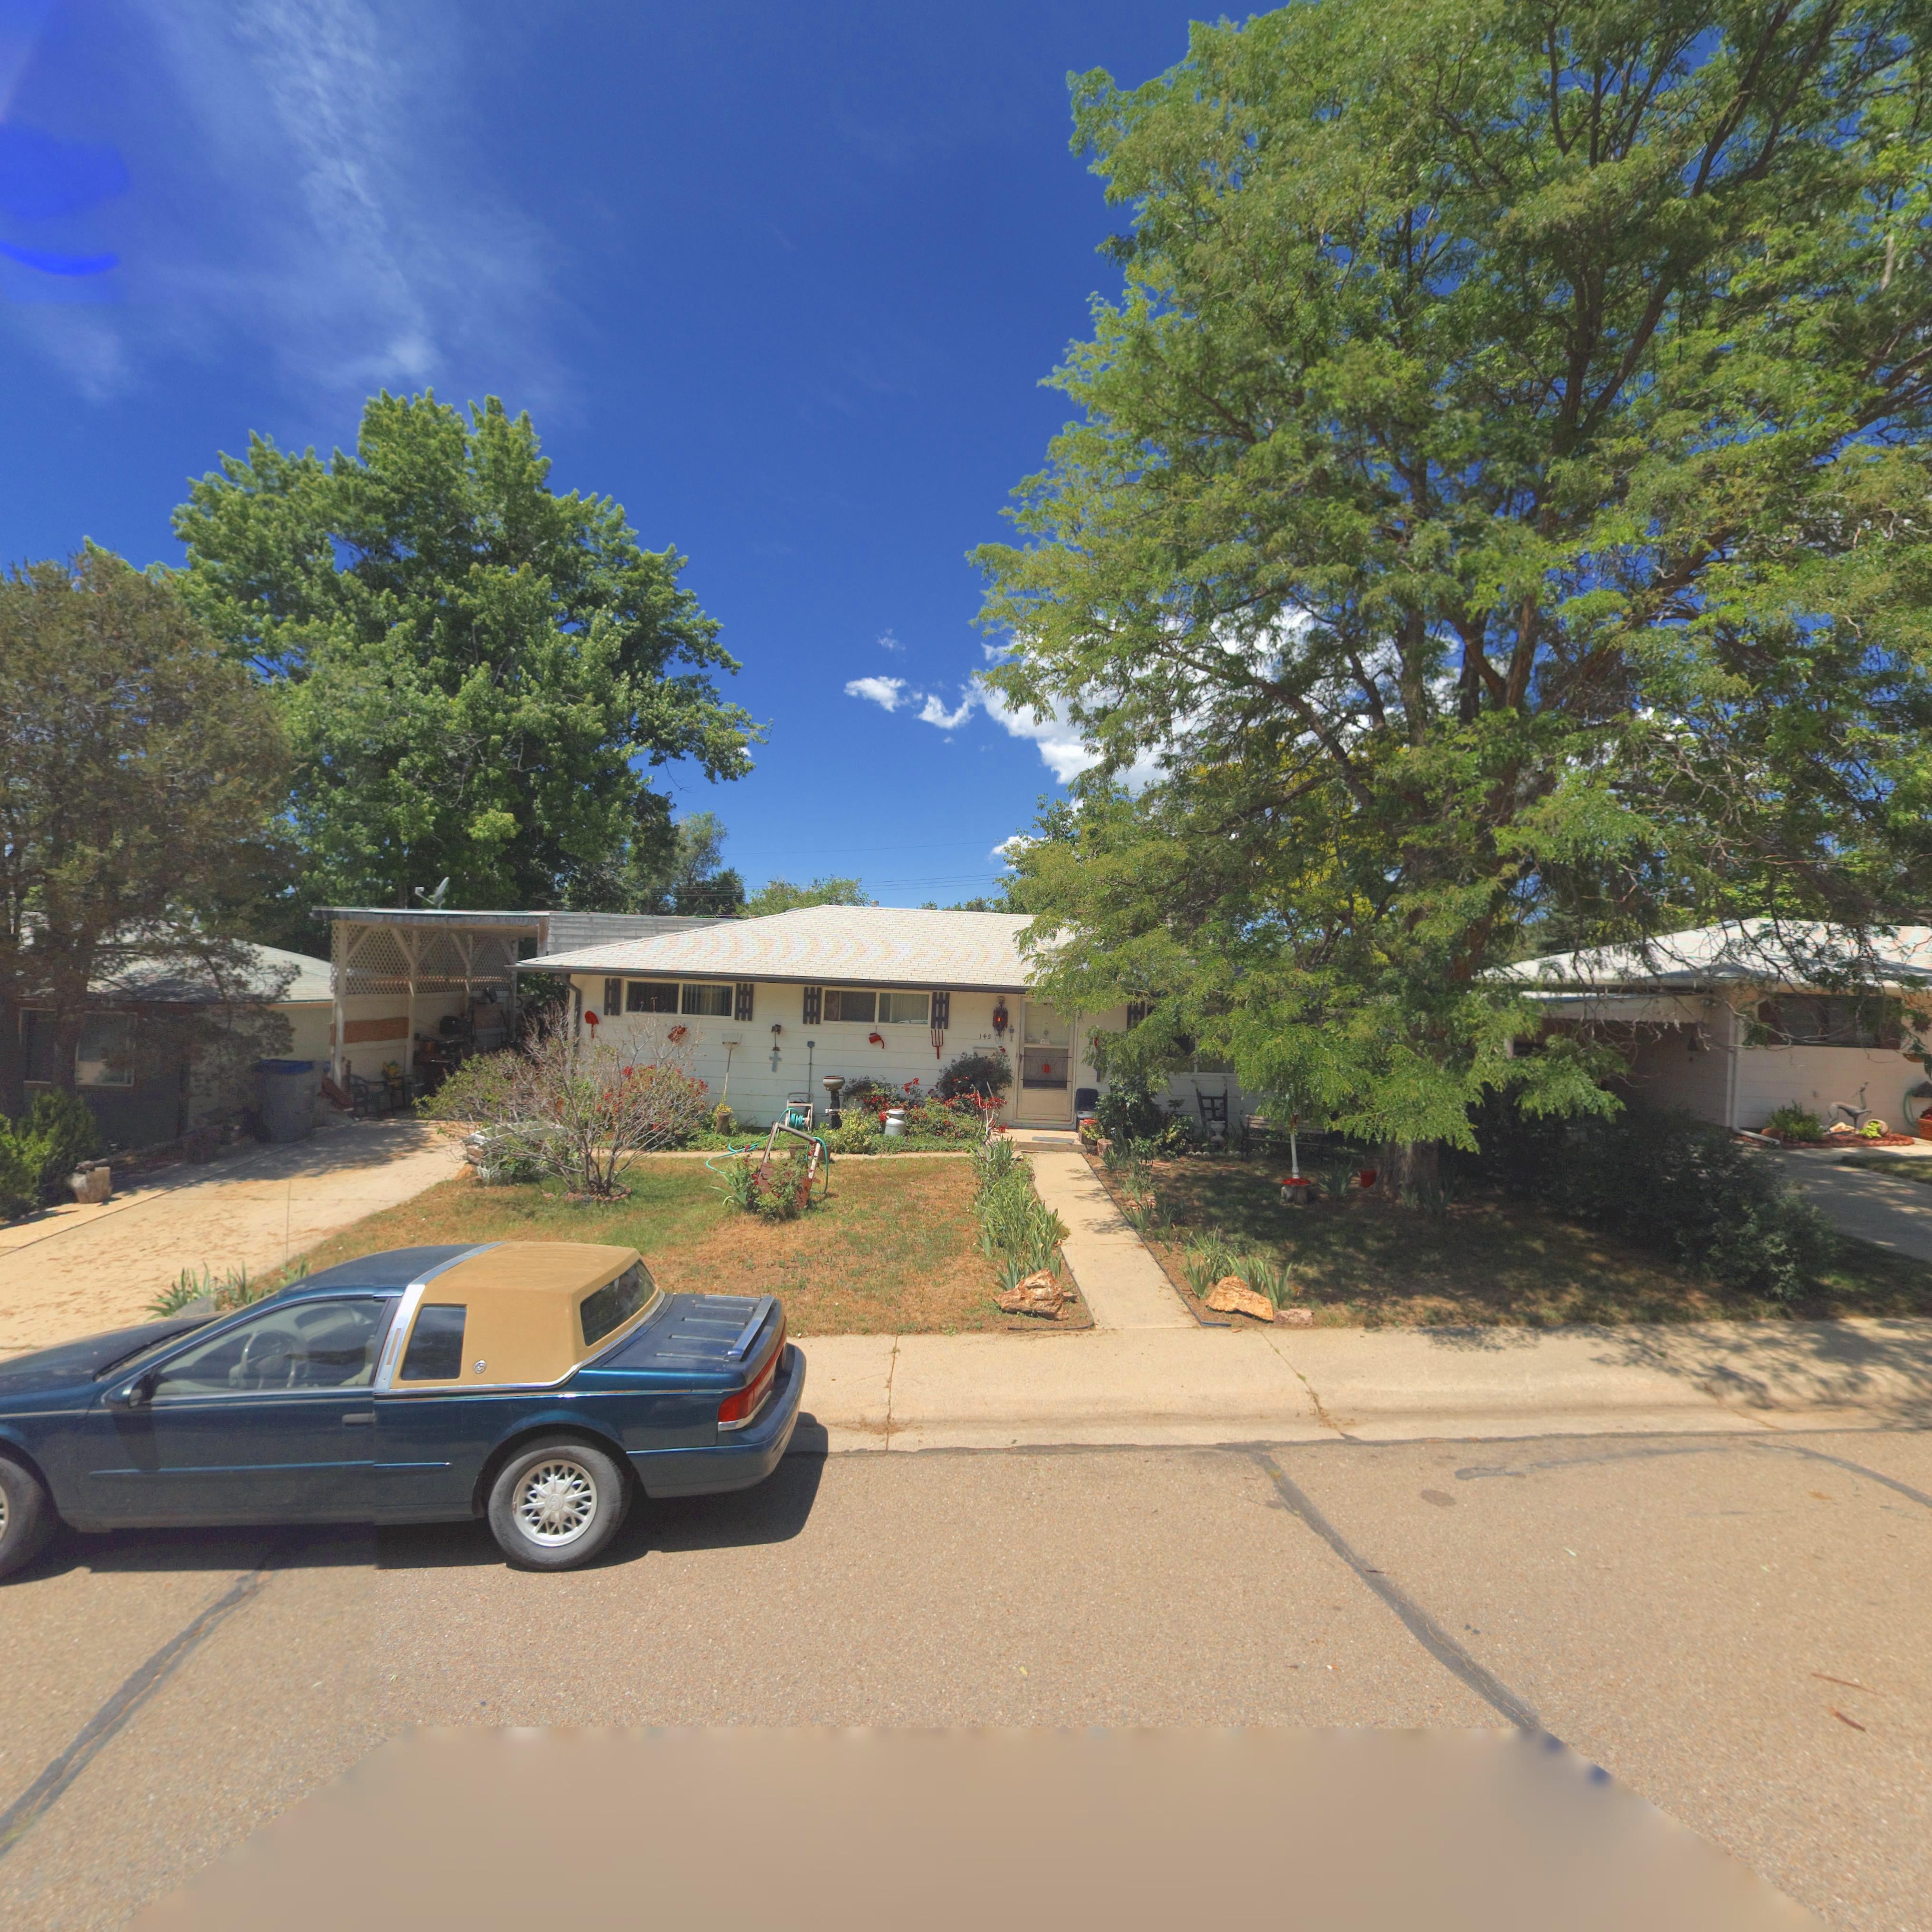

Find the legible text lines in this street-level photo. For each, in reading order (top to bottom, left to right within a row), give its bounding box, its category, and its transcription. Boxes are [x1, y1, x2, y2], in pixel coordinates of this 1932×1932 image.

[979, 1033, 991, 1040] StreetNumber: 145